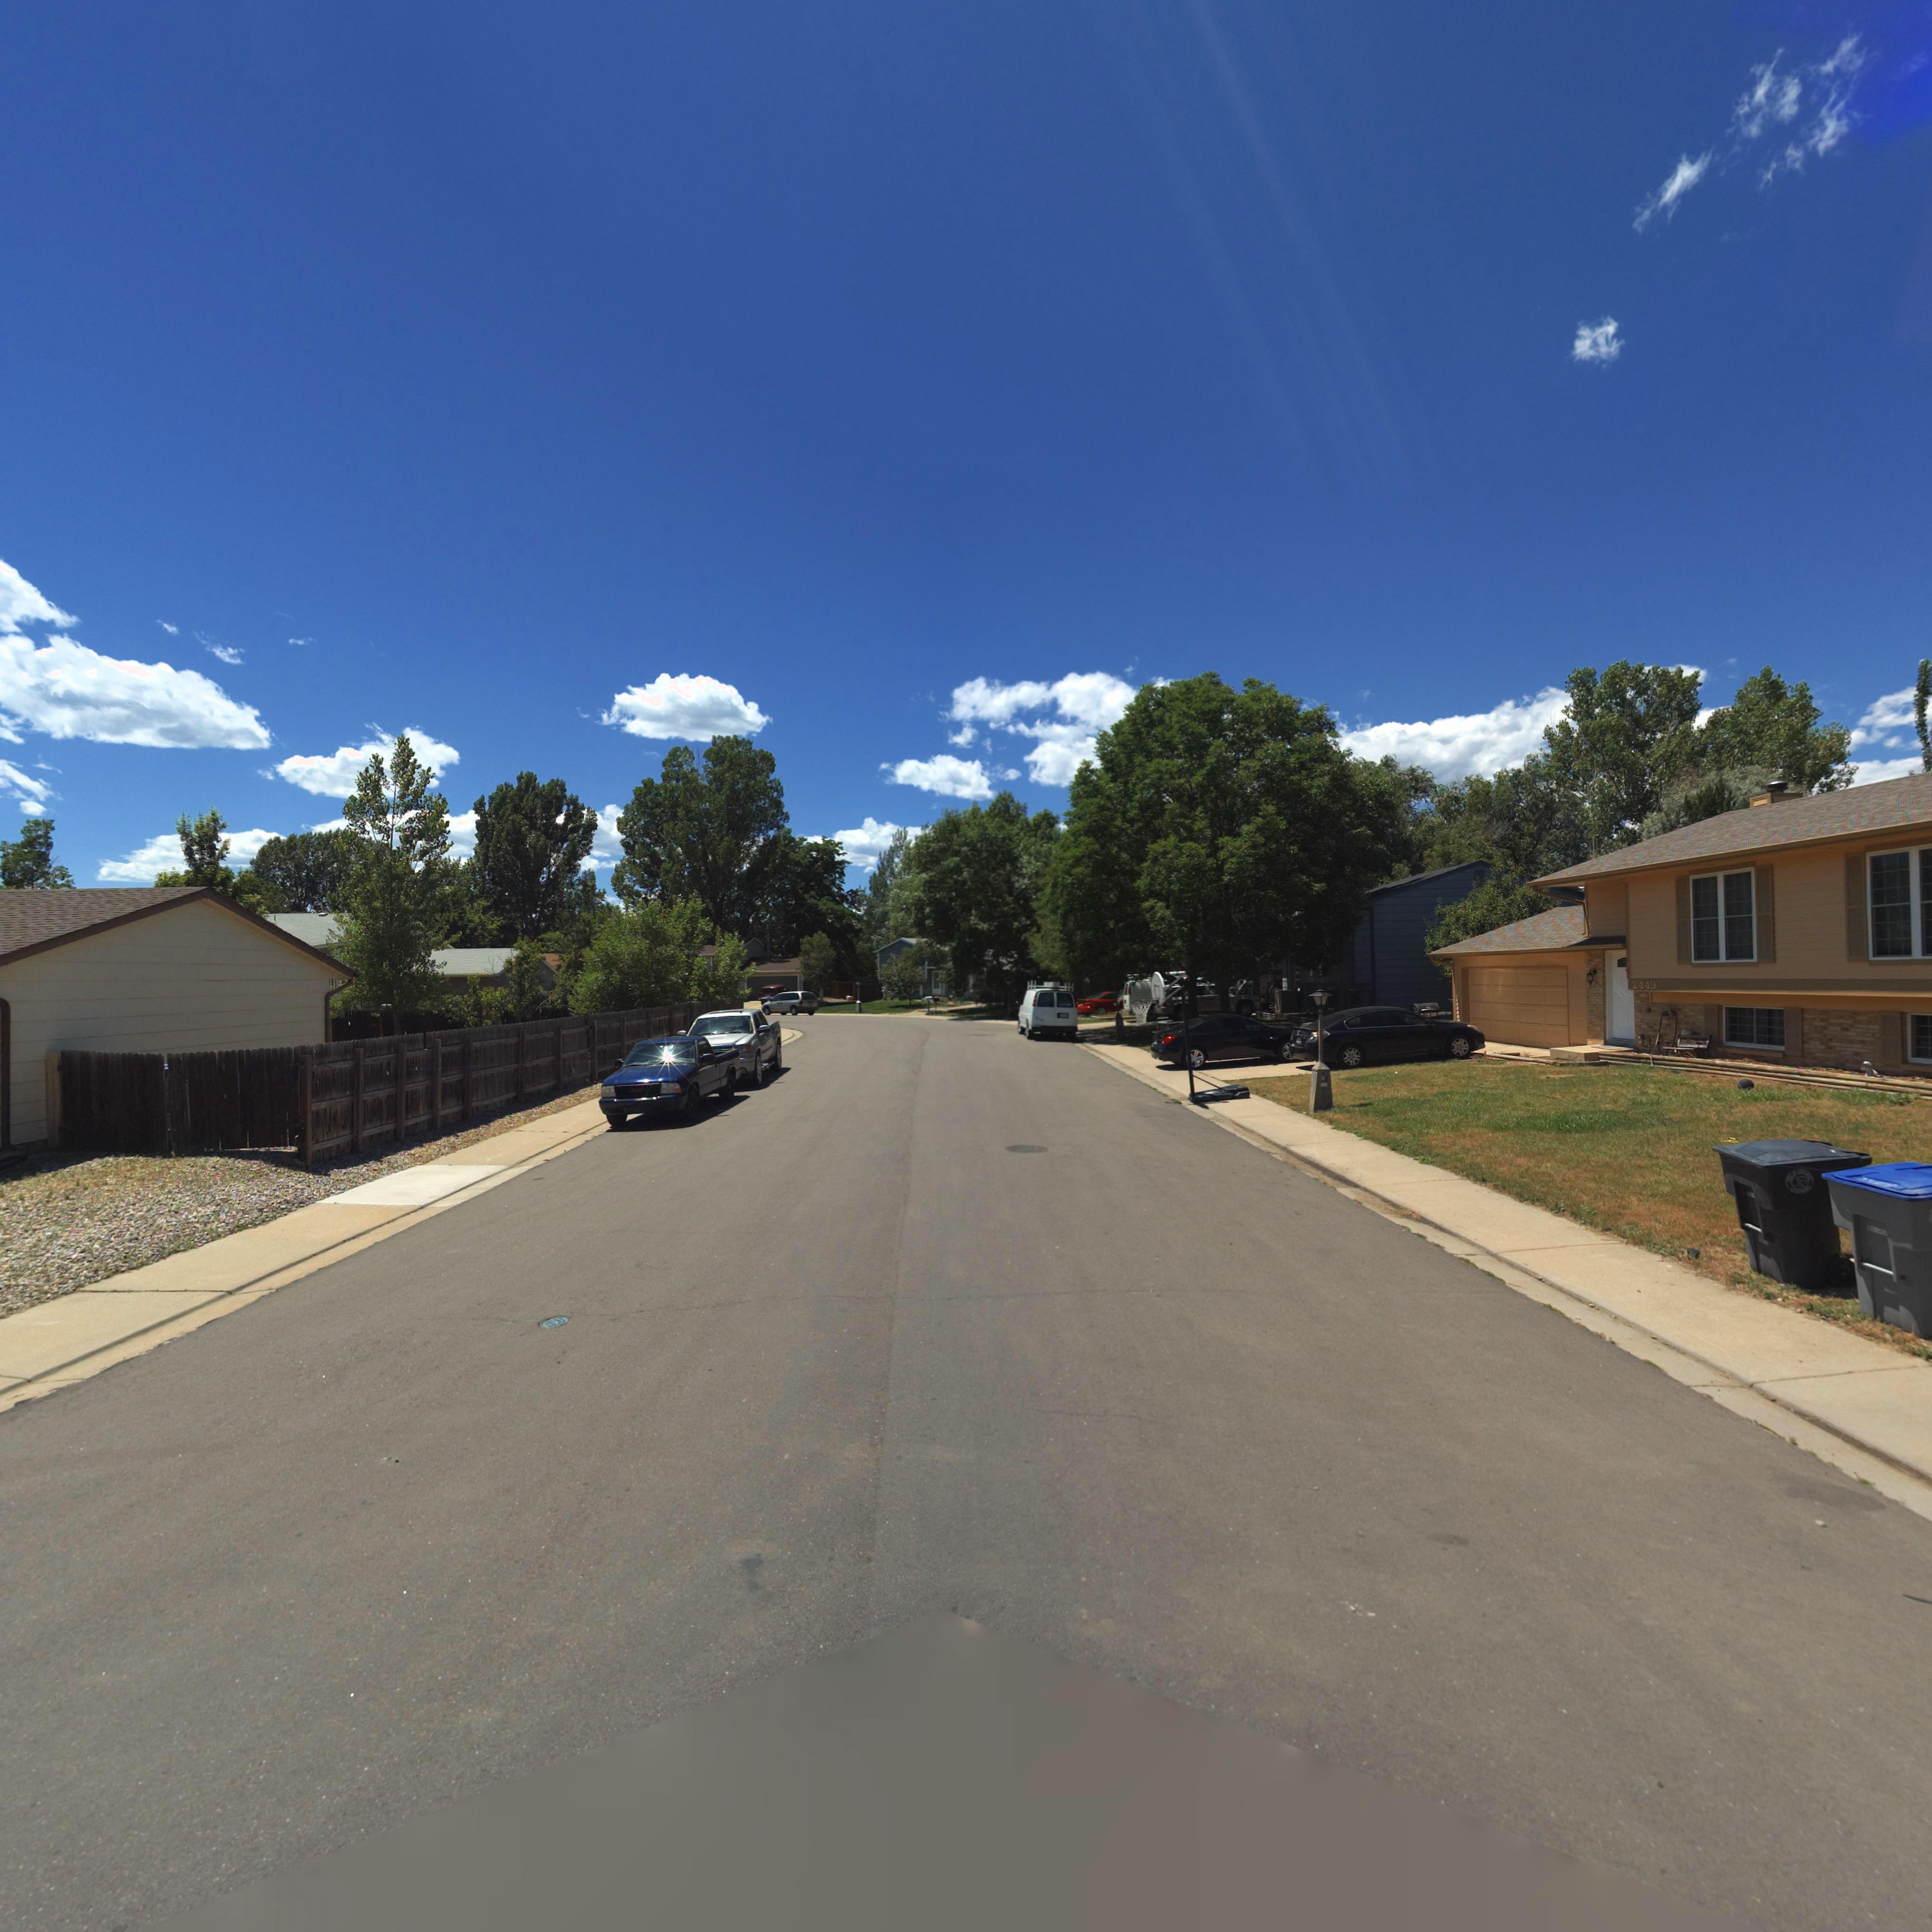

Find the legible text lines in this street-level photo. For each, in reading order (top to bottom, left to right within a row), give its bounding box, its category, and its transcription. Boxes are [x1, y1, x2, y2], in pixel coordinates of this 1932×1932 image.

[1632, 980, 1656, 989] StreetNumber: 2449